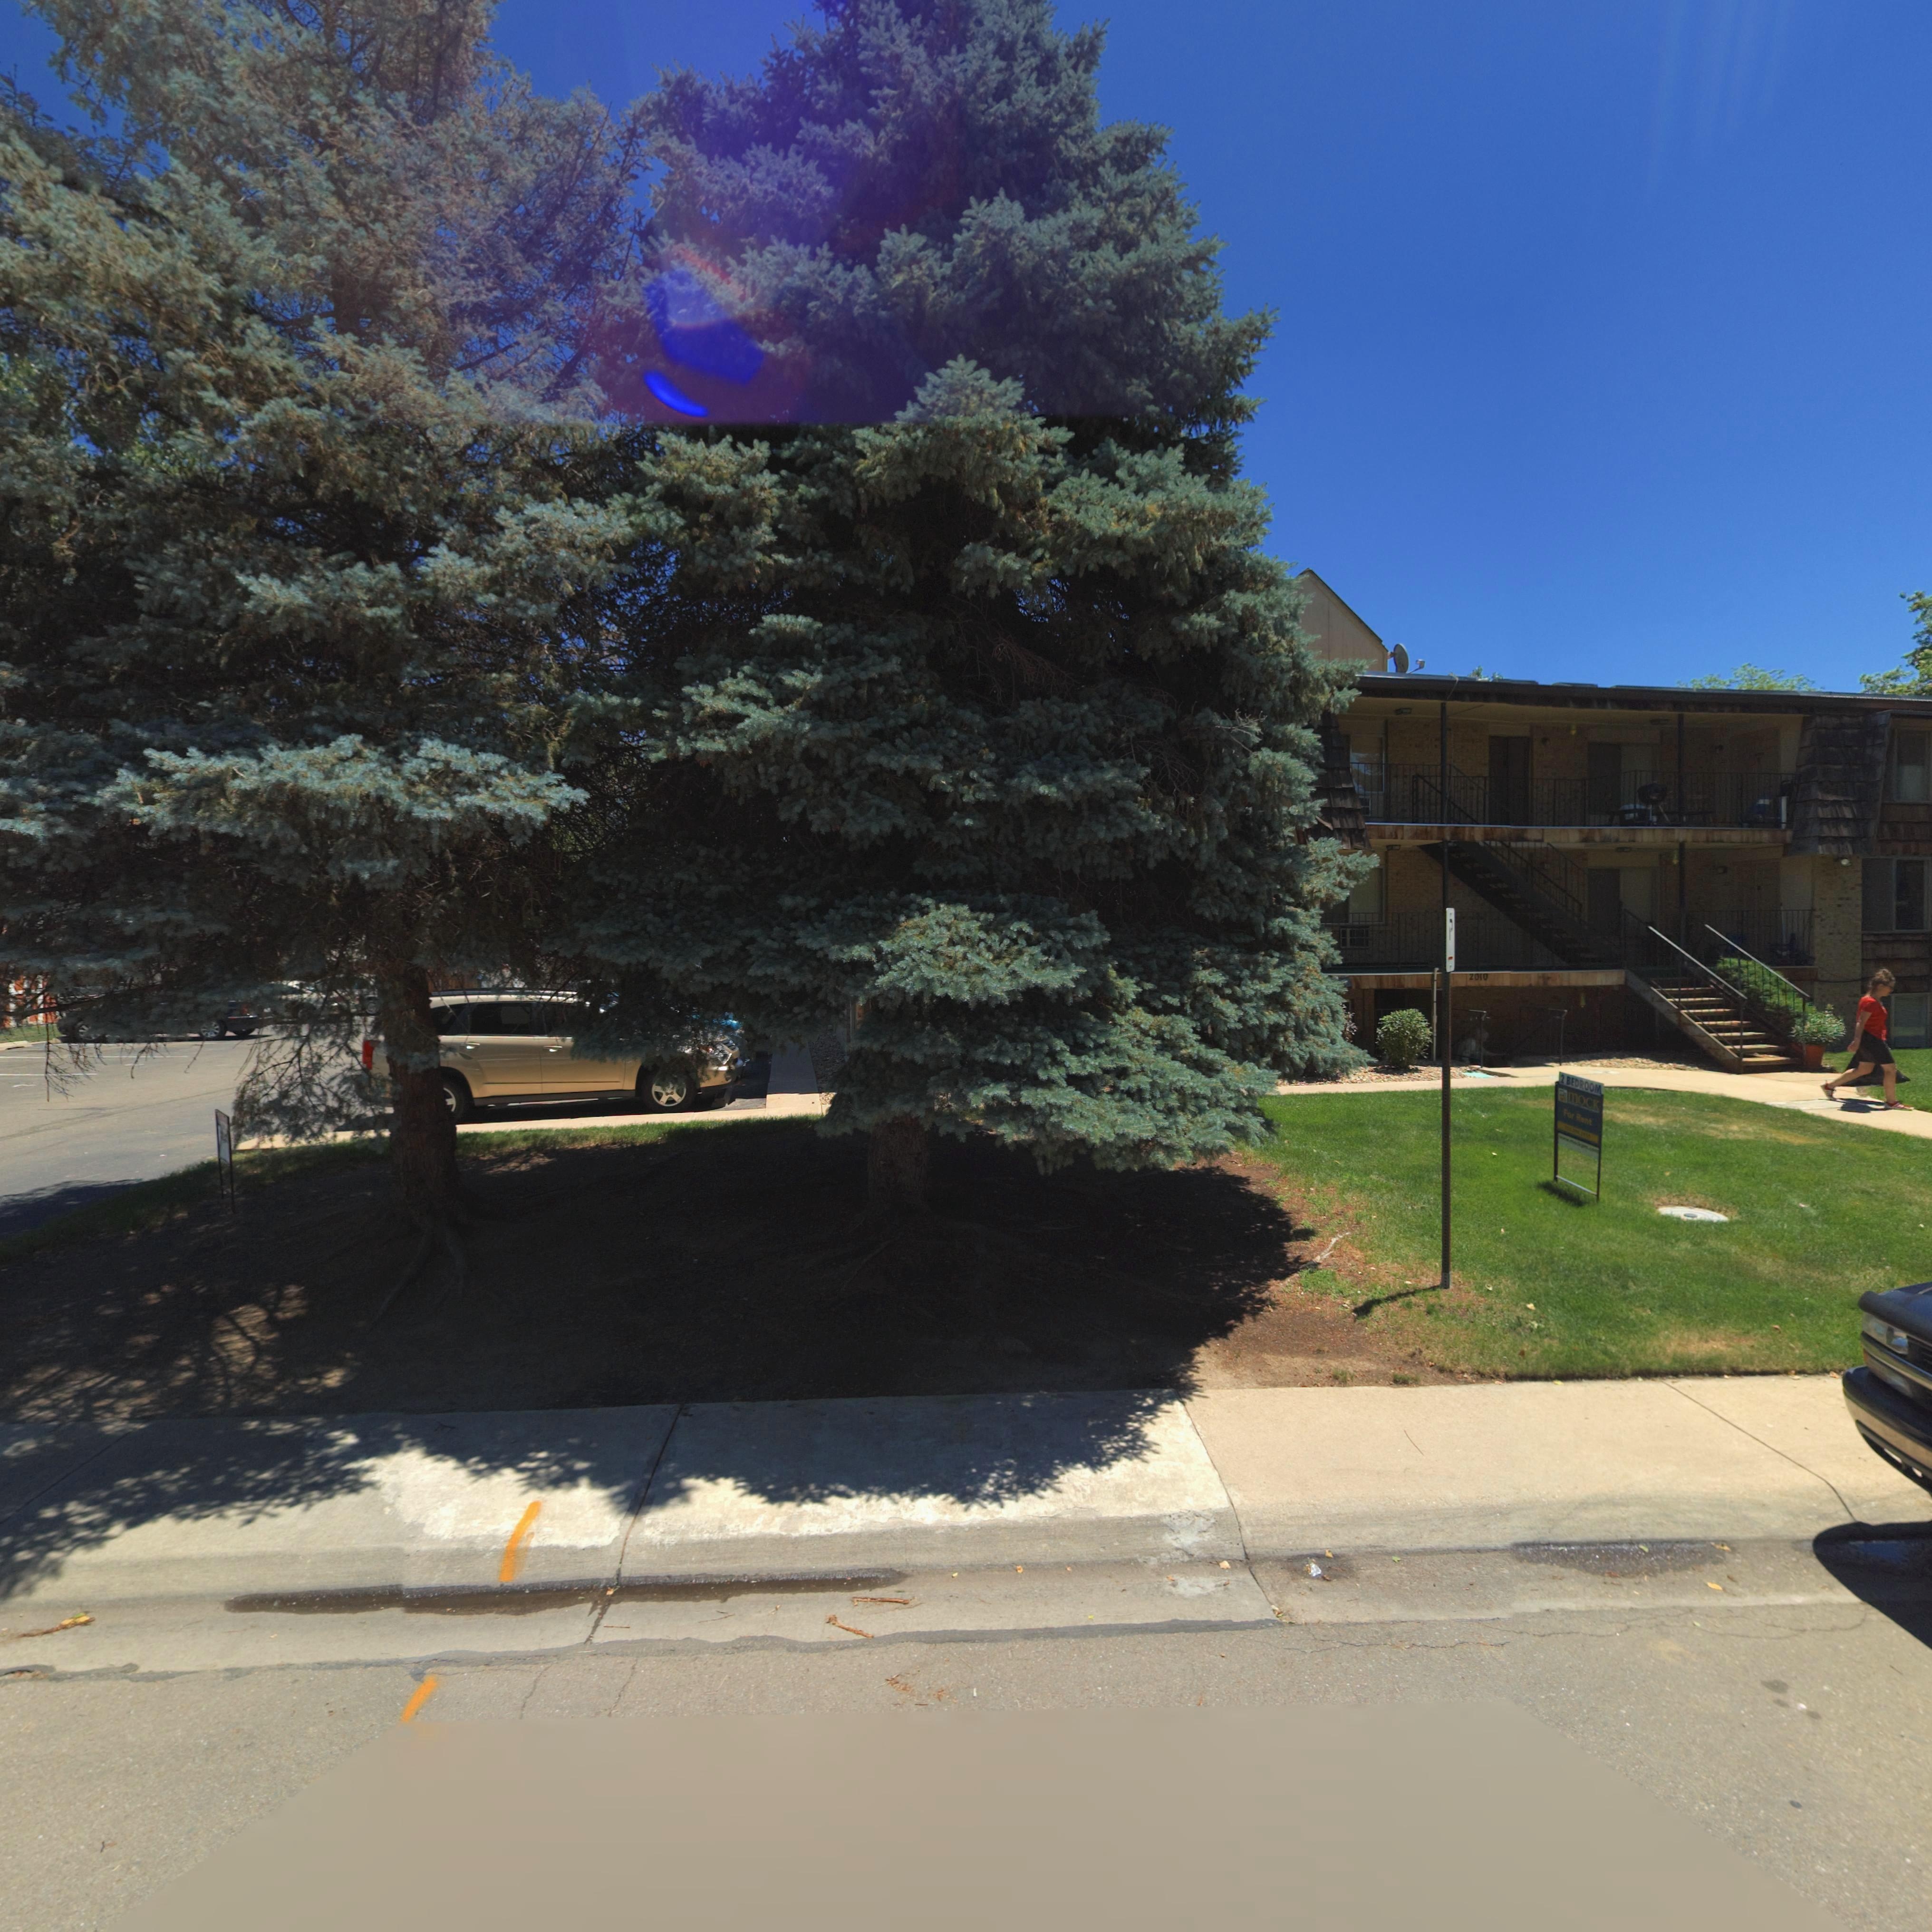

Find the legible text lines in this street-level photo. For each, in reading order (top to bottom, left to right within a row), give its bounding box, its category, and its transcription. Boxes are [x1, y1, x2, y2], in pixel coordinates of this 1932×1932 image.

[1468, 973, 1488, 981] StreetNumber: 2010